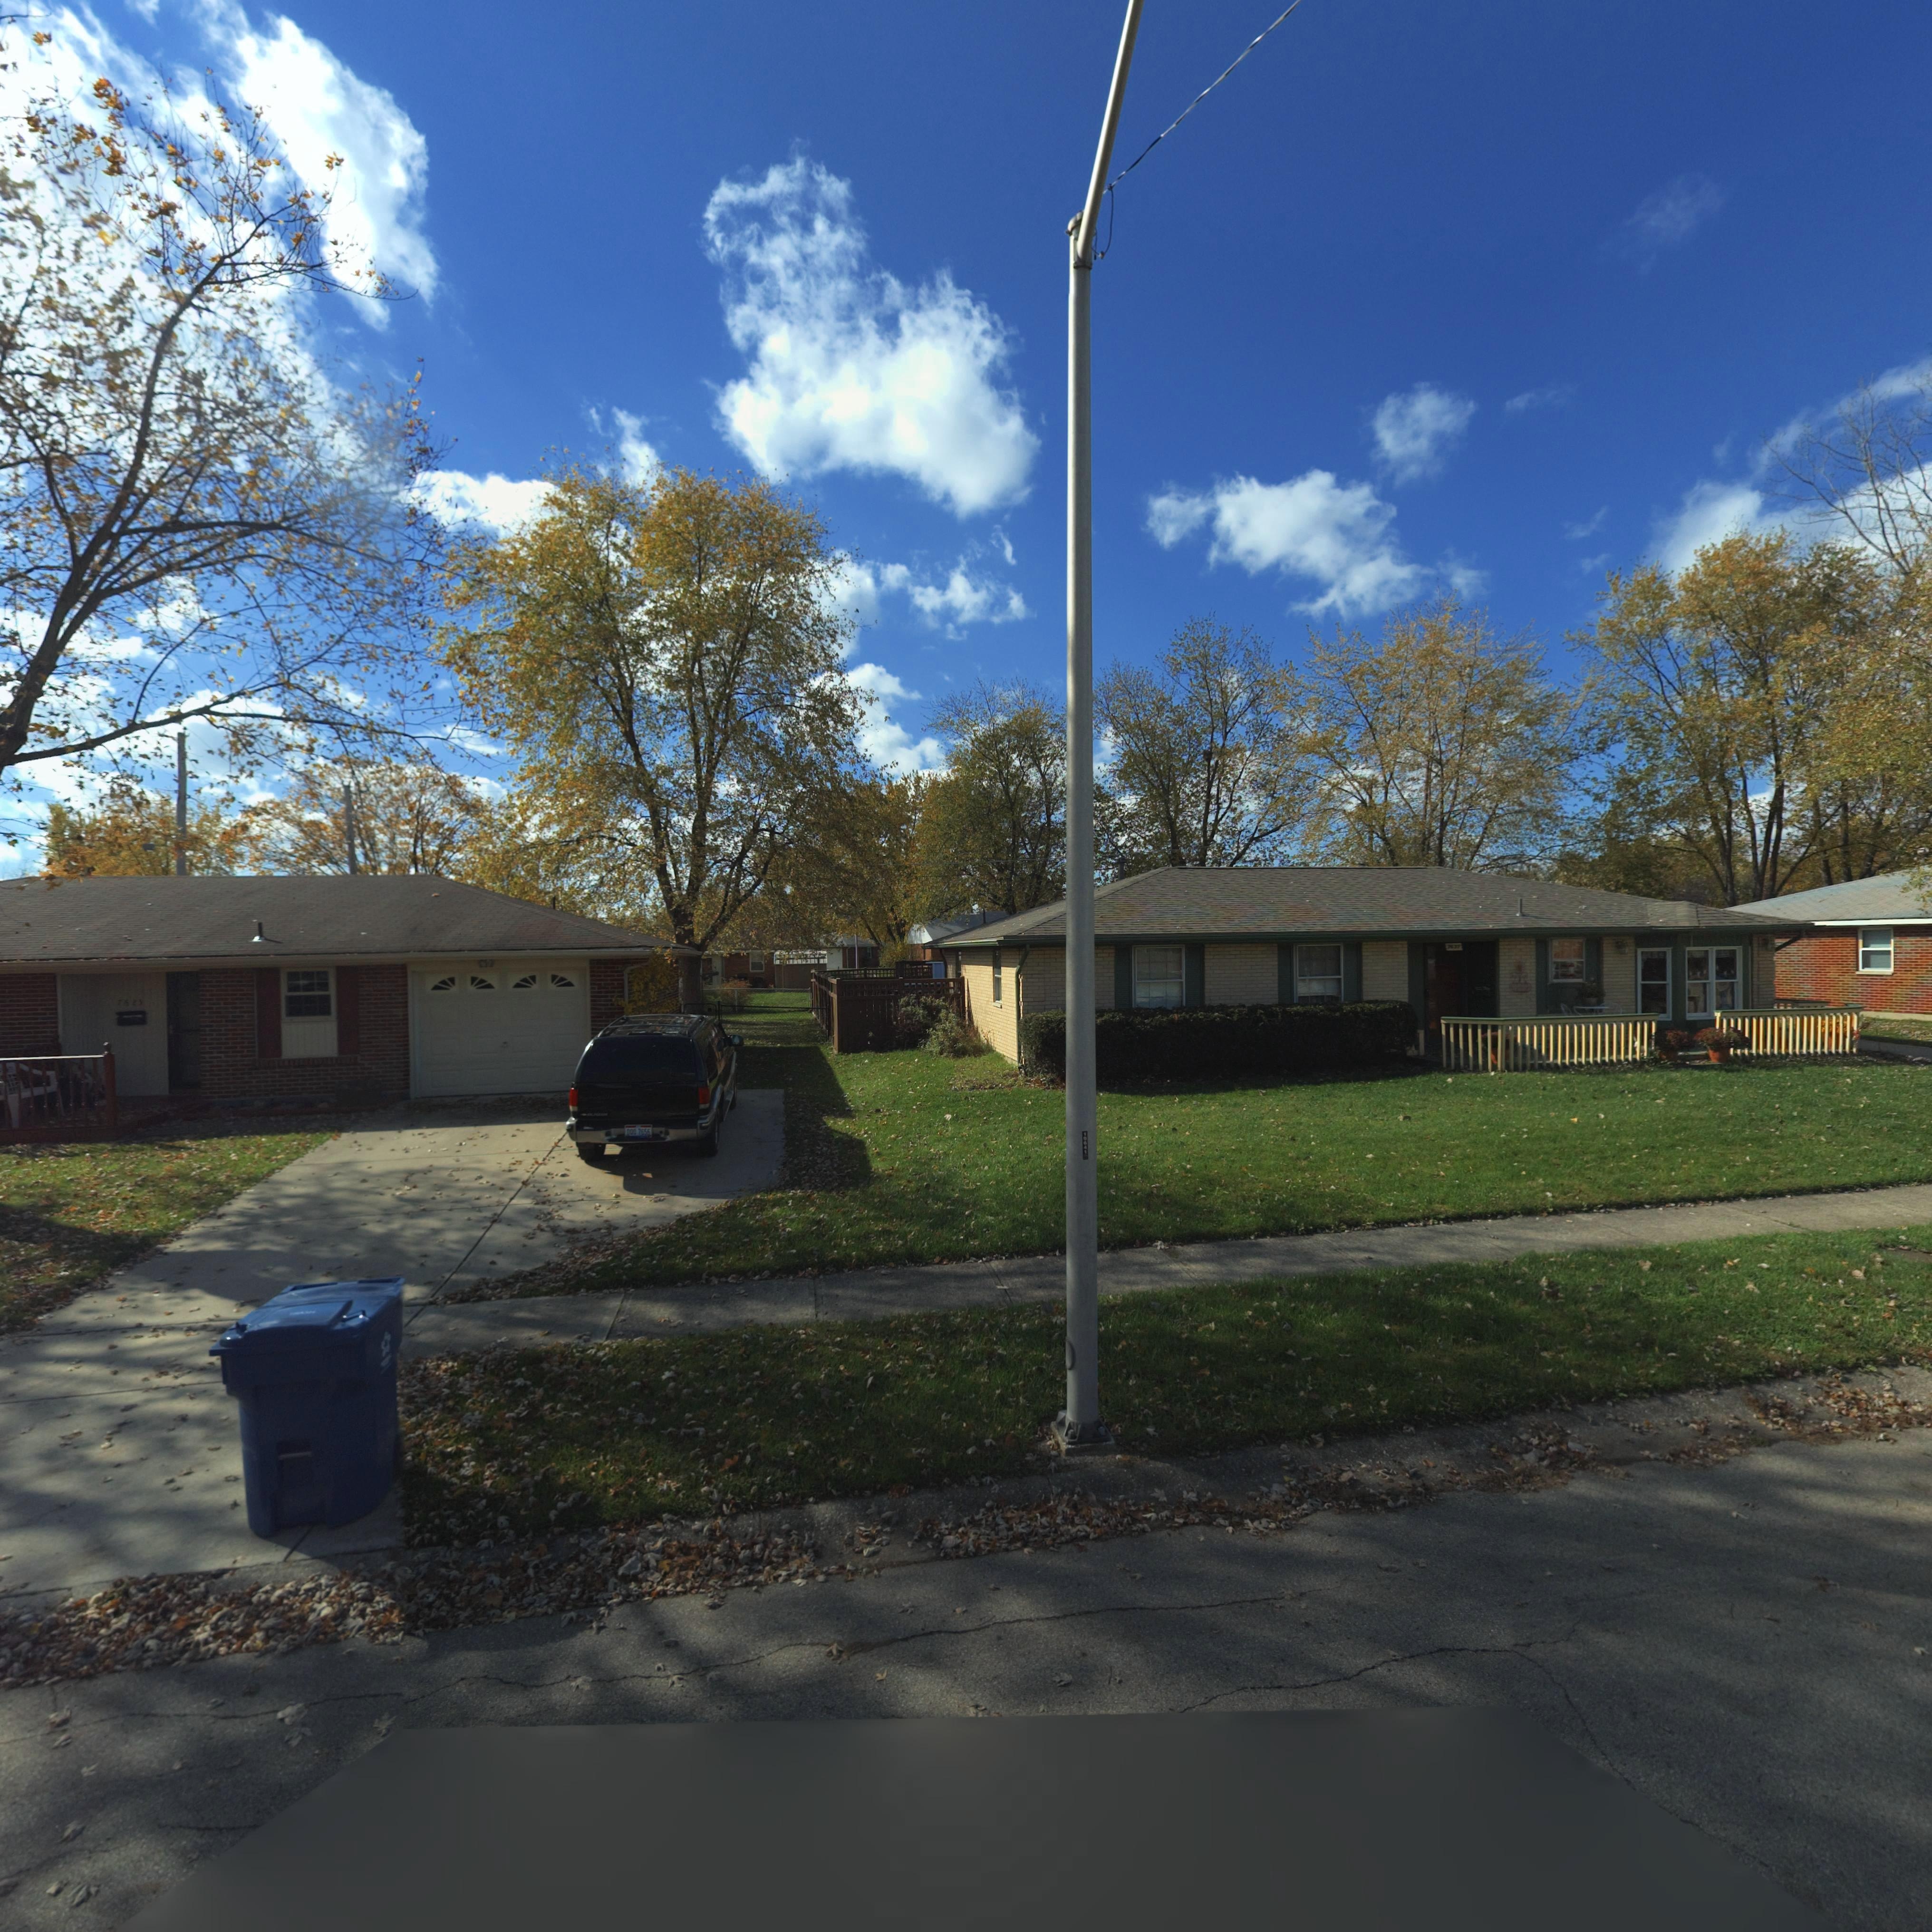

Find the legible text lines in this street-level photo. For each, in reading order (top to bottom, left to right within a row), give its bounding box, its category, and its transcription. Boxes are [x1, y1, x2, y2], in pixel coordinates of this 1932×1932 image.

[1447, 943, 1462, 950] StreetNumber: 76*7
[116, 997, 145, 1008] StreetNumber: 75**